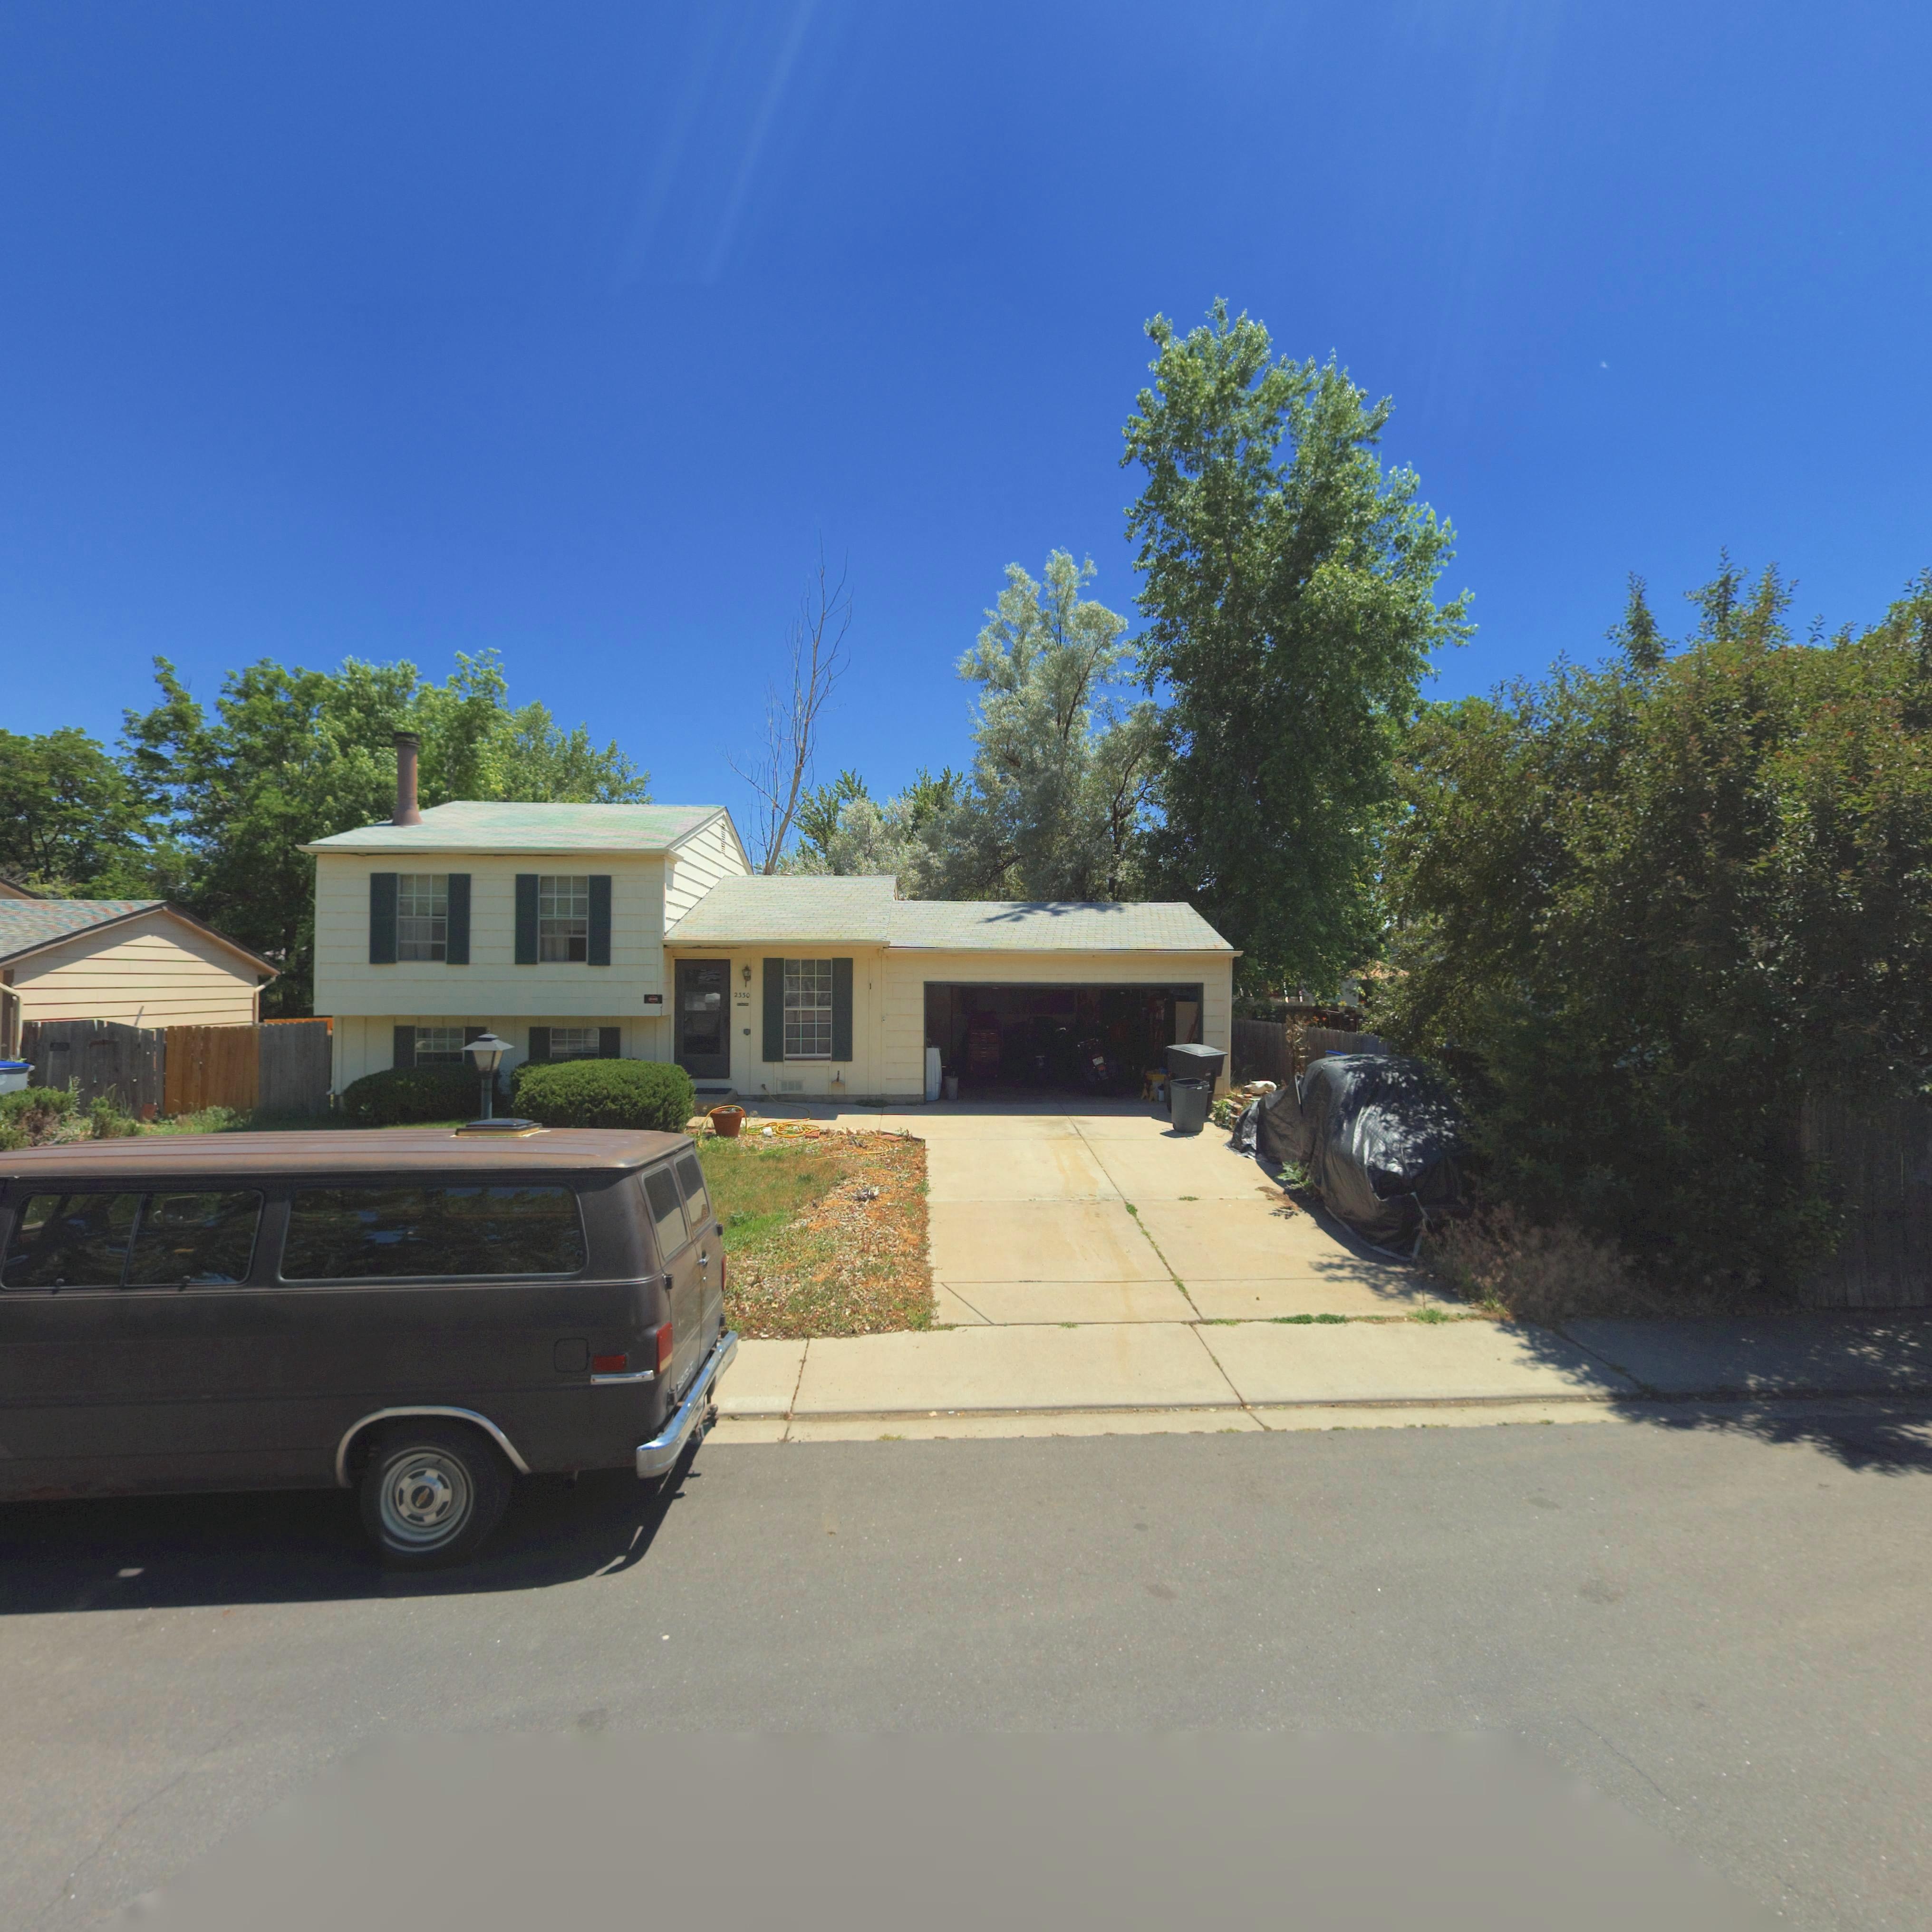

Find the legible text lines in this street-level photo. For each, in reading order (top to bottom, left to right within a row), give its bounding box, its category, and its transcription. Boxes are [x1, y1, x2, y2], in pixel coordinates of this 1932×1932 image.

[734, 992, 750, 998] StreetNumber: 2330